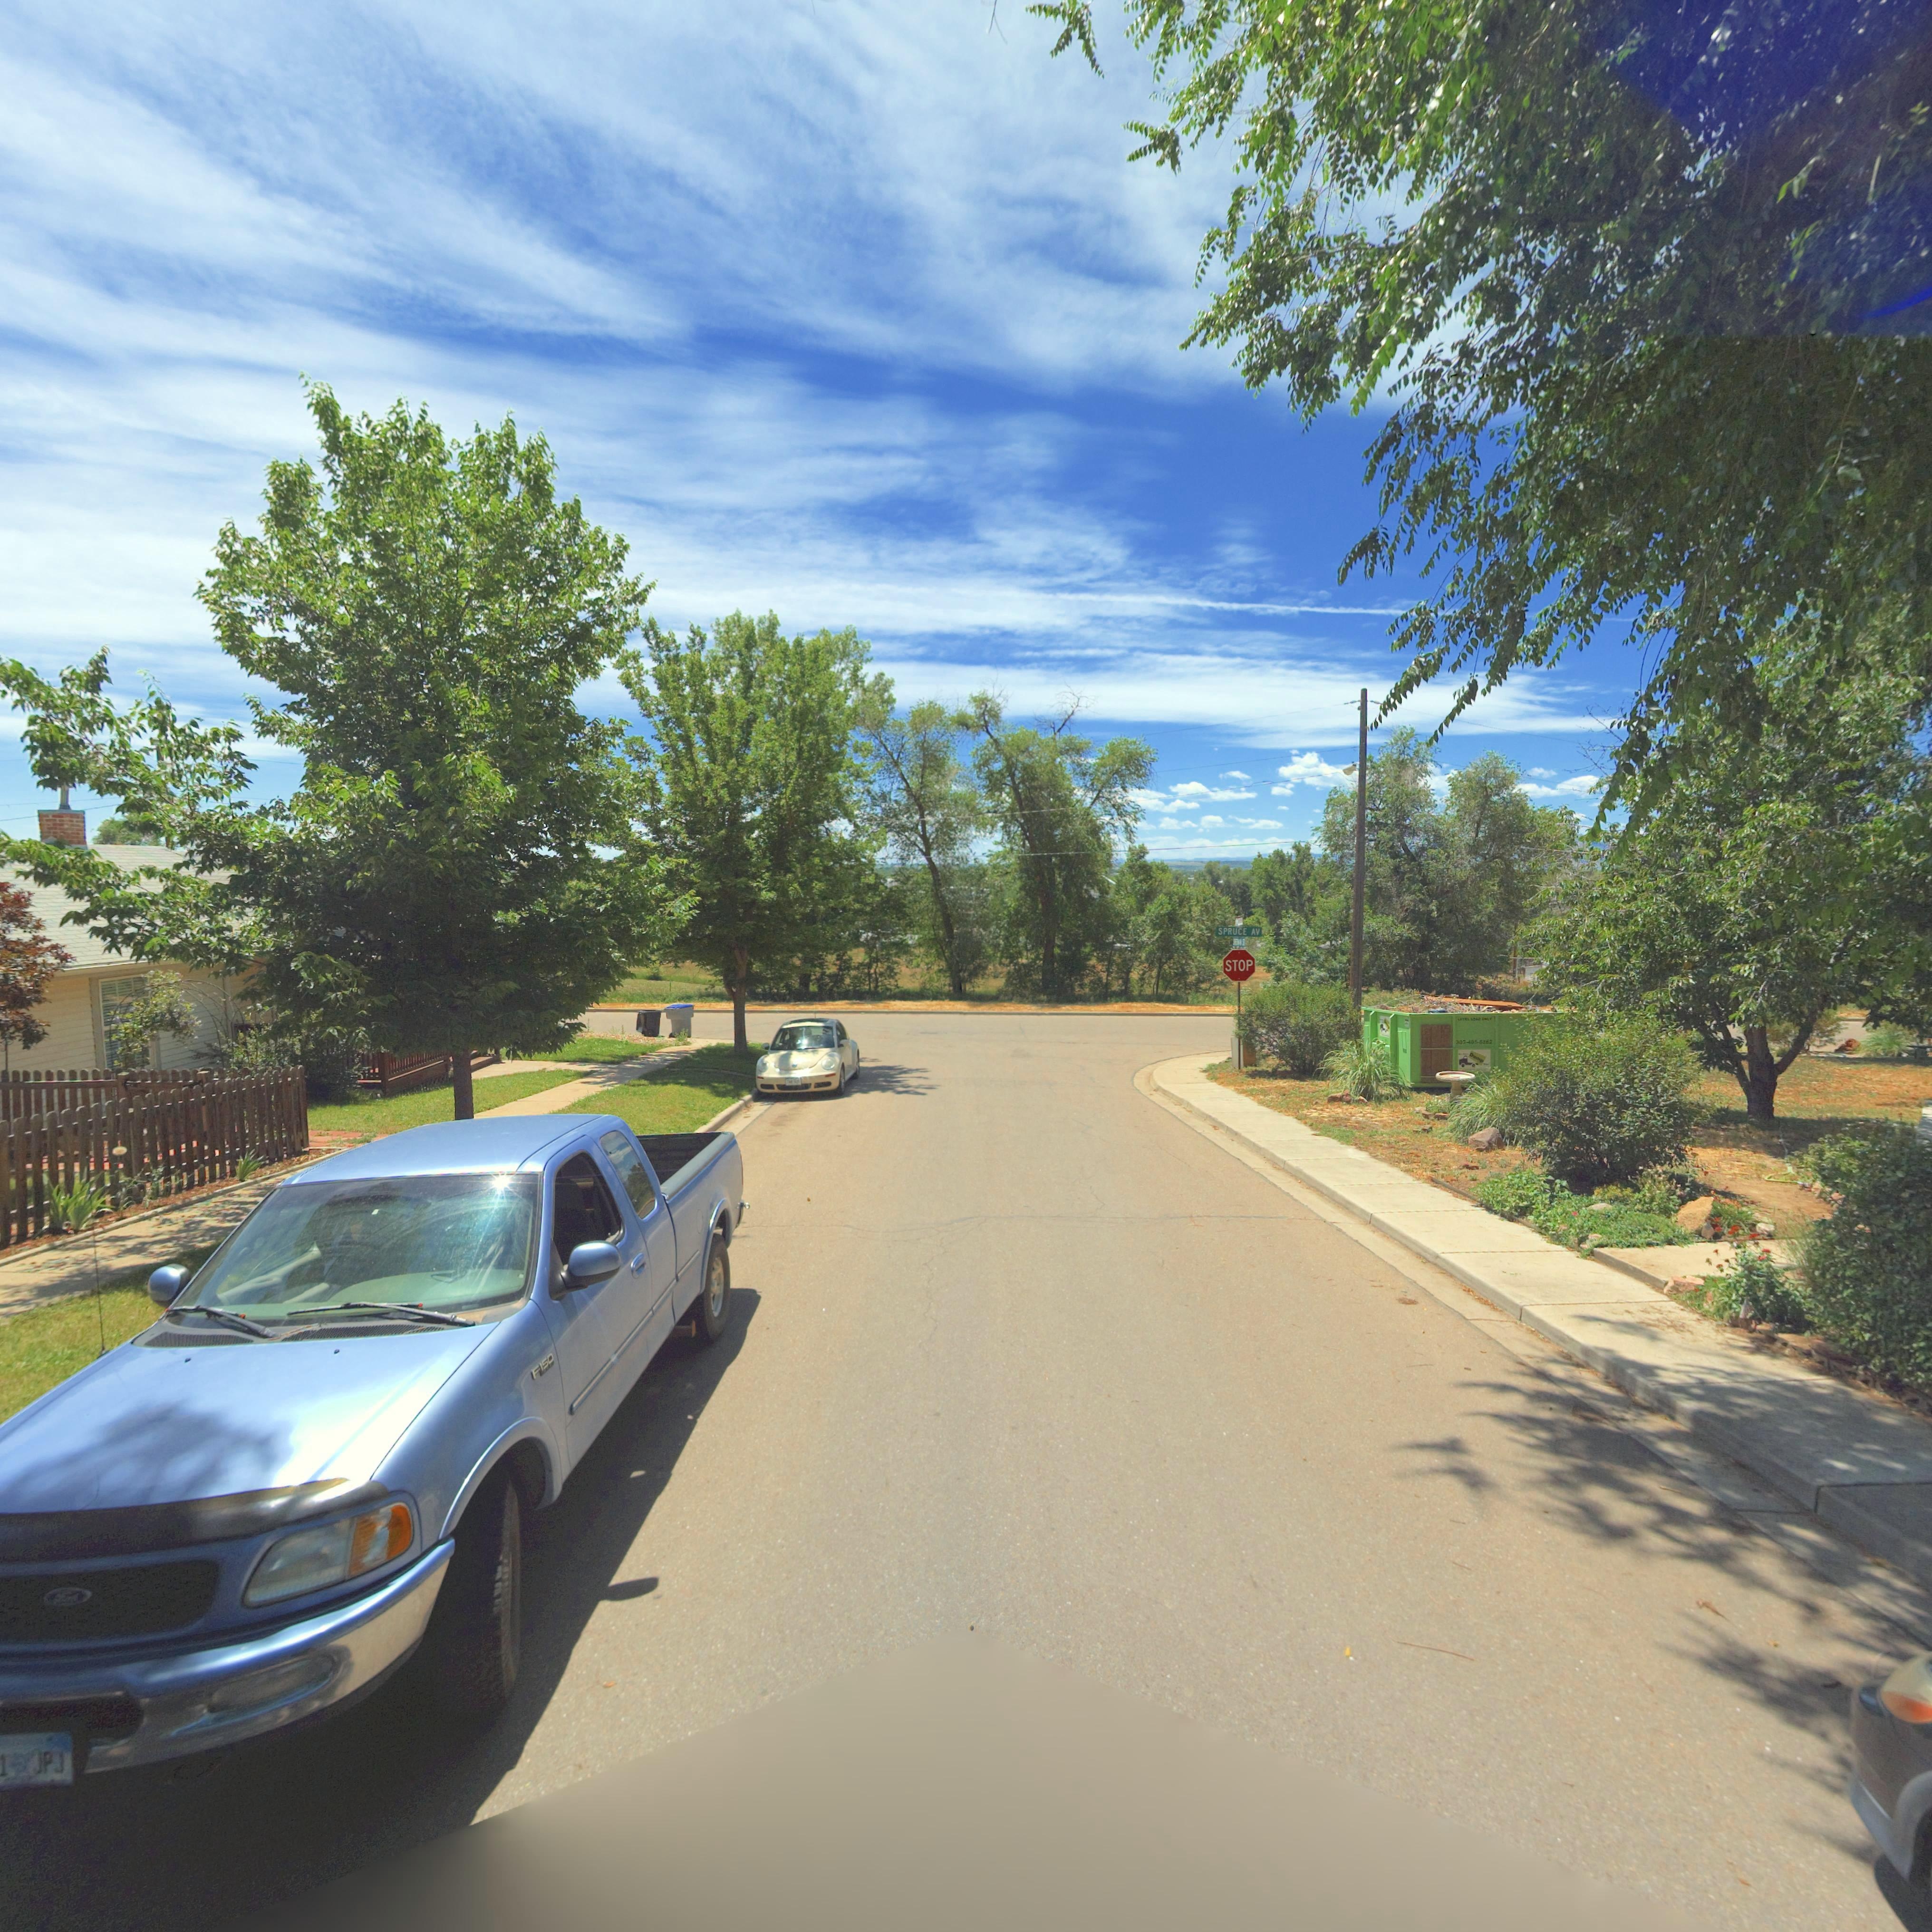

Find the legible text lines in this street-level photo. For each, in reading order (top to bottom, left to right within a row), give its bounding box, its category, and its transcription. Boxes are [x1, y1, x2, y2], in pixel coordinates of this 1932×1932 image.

[1217, 927, 1260, 936] StreetName: SPRUCE AV